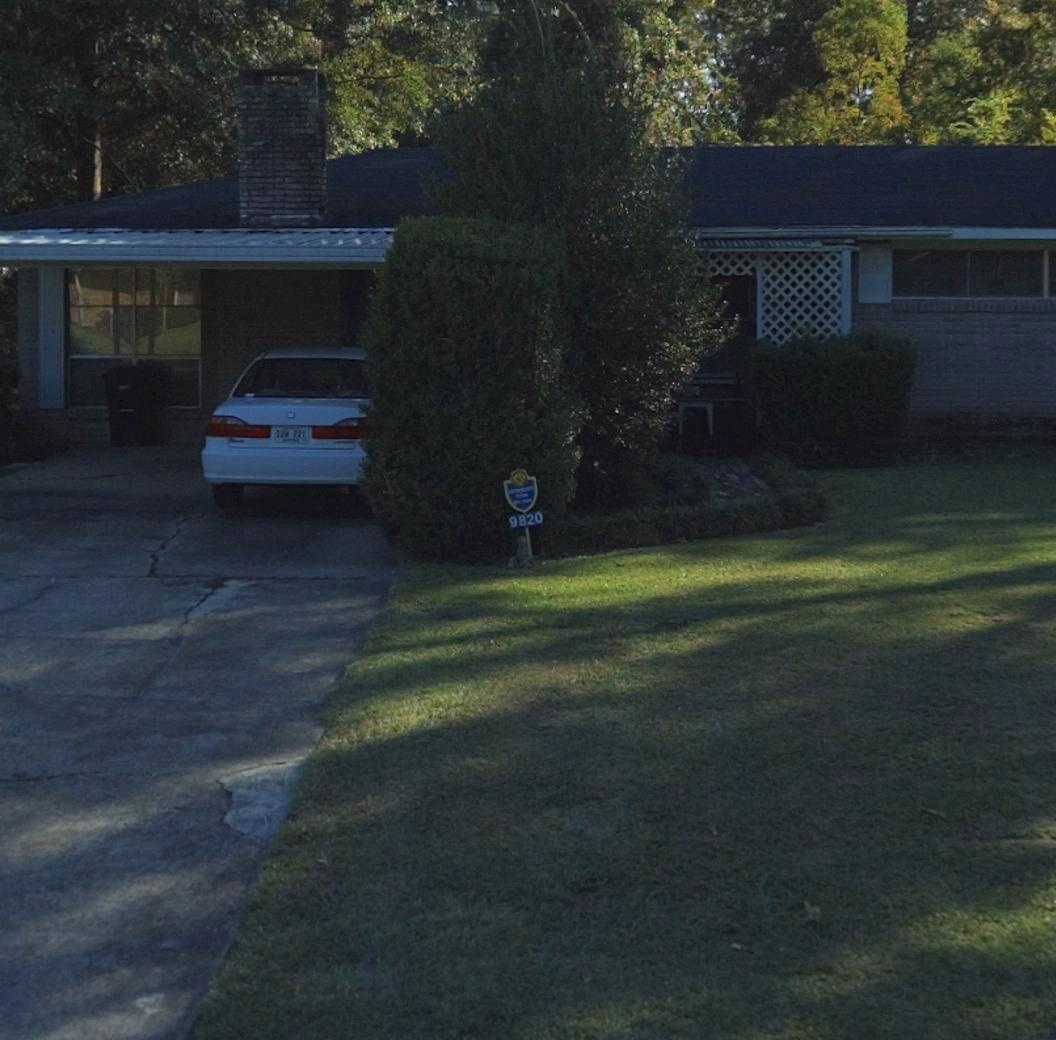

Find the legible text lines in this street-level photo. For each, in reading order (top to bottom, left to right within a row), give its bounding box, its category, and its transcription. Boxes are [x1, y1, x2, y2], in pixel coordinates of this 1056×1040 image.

[507, 510, 545, 529] StreetNumber: 9820